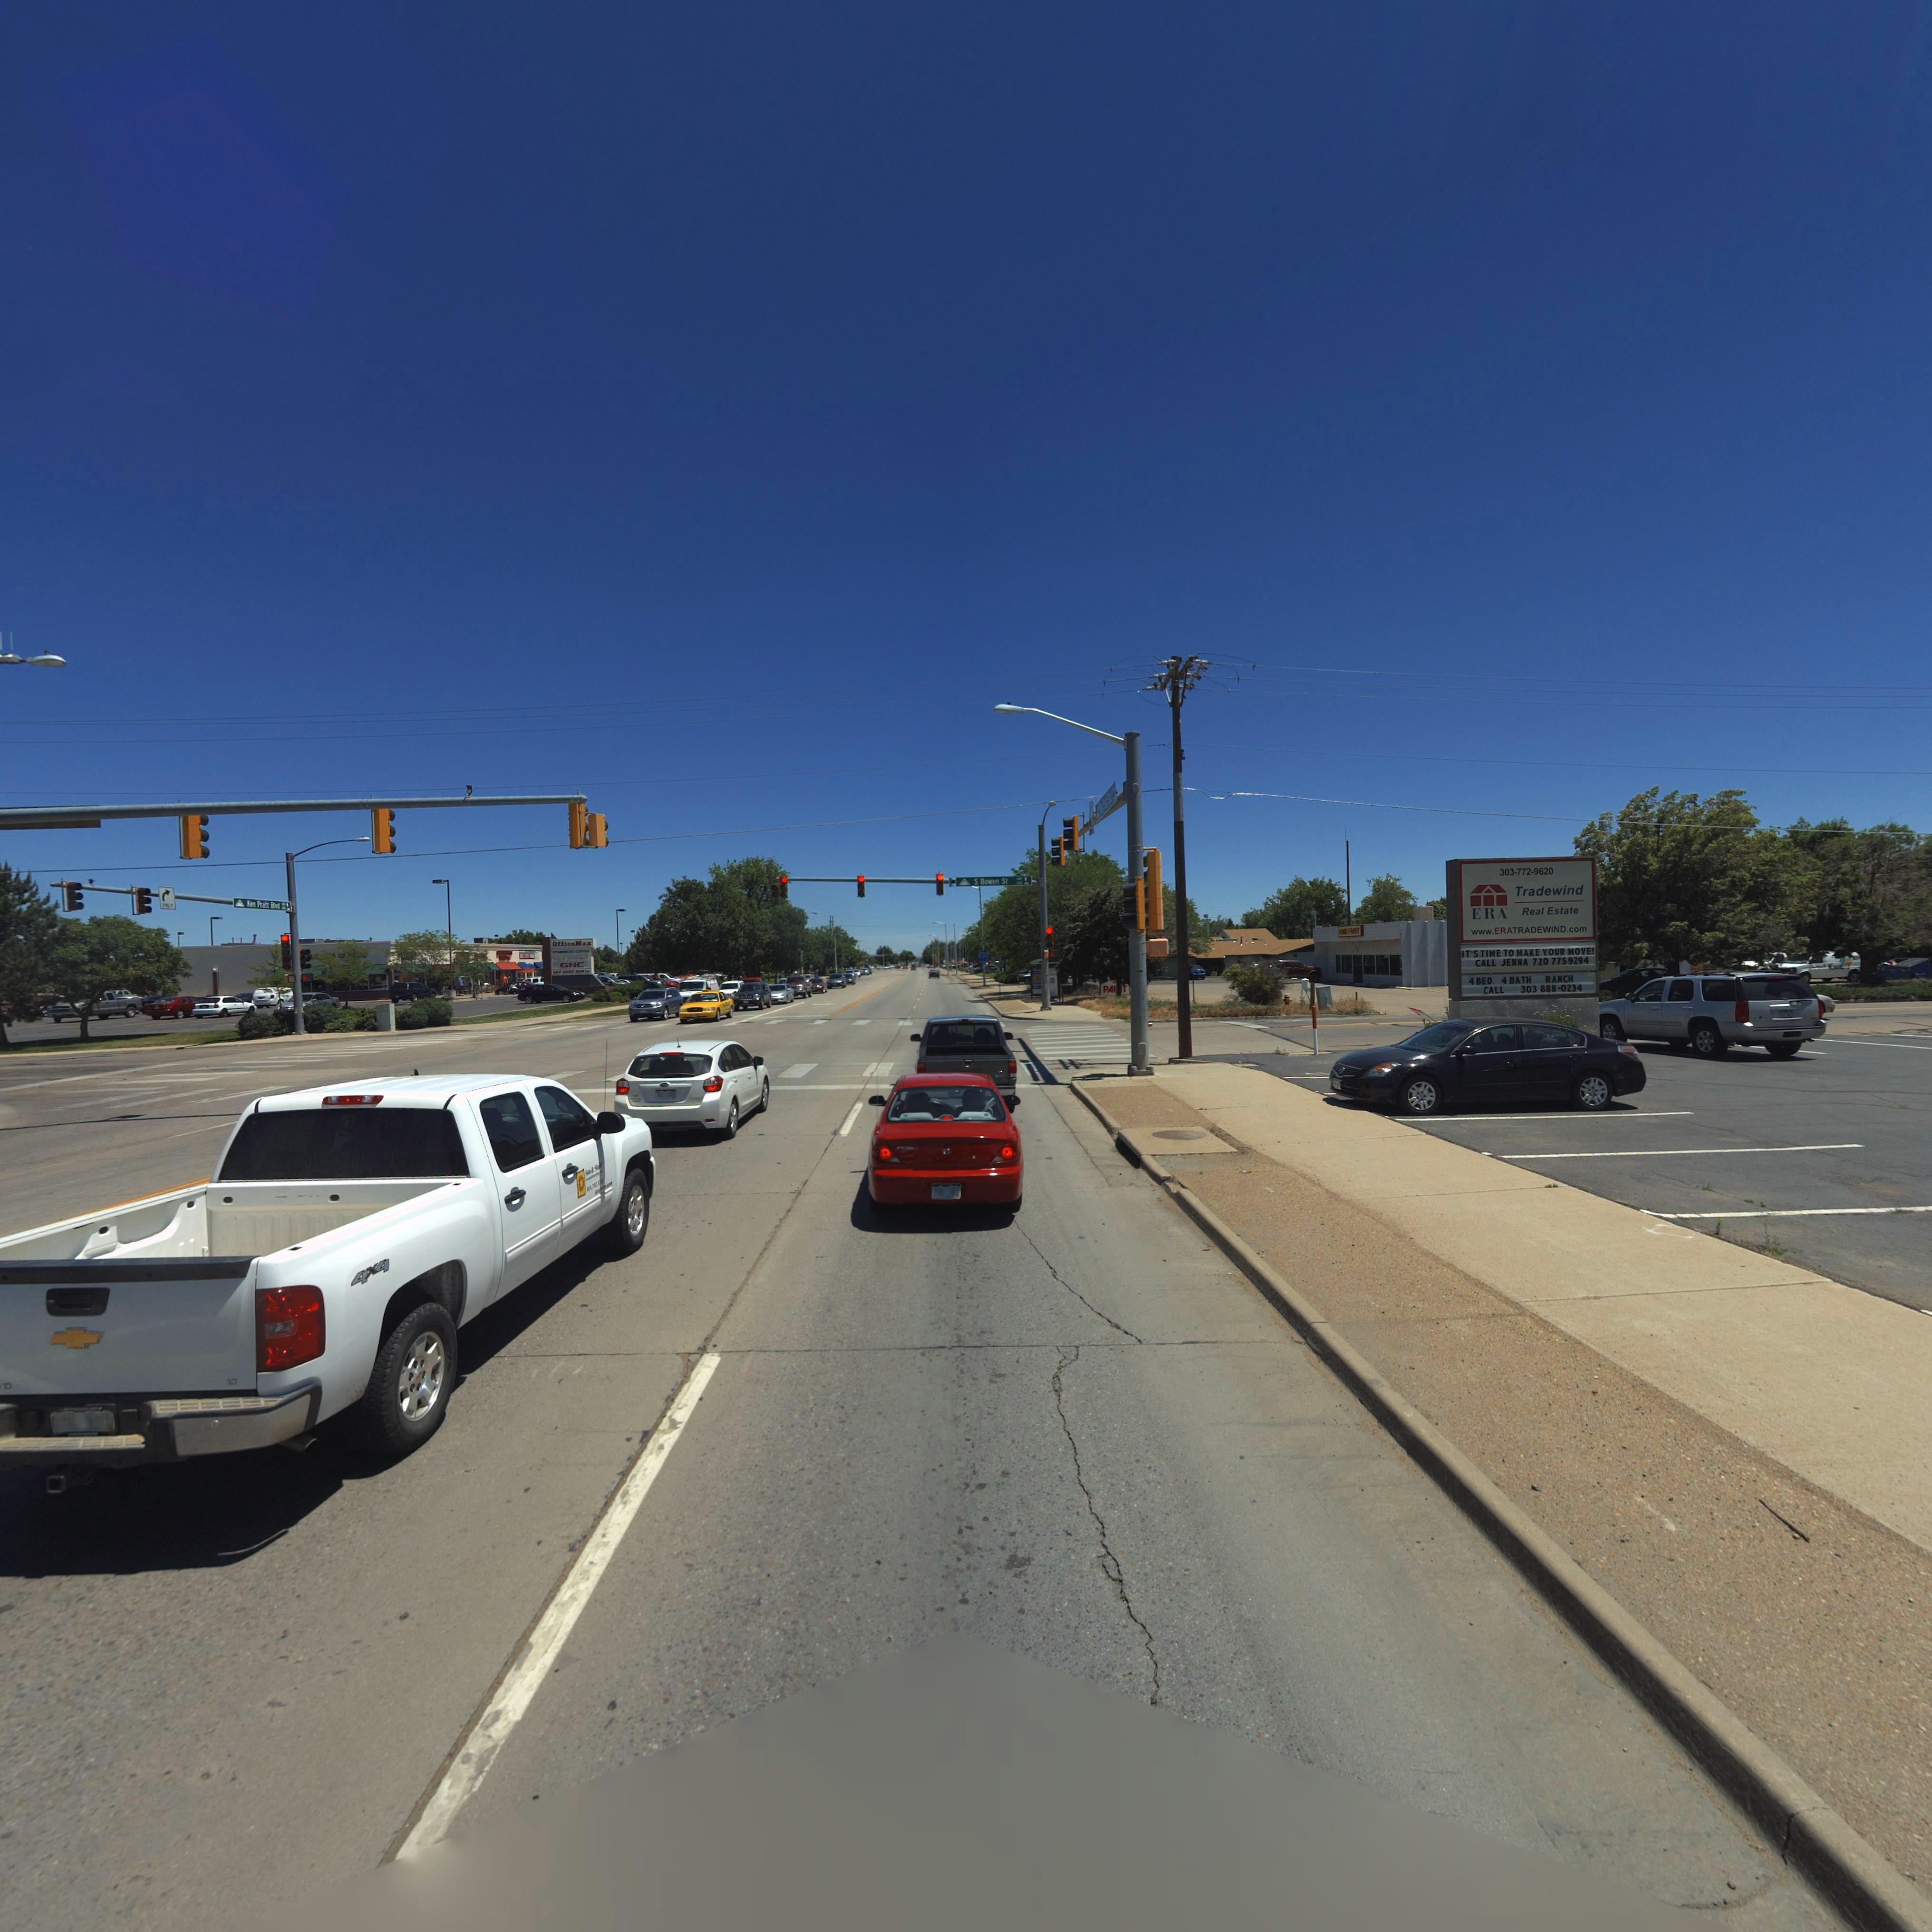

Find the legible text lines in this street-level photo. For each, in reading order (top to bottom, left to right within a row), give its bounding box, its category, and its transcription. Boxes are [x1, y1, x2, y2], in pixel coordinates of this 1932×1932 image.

[974, 877, 1008, 885] StreetName: S Bowen St
[246, 899, 280, 909] StreetName: *** P*a** B*v*
[552, 940, 591, 947] BusinessName: officeMax
[559, 961, 584, 968] BusinessName: GNC